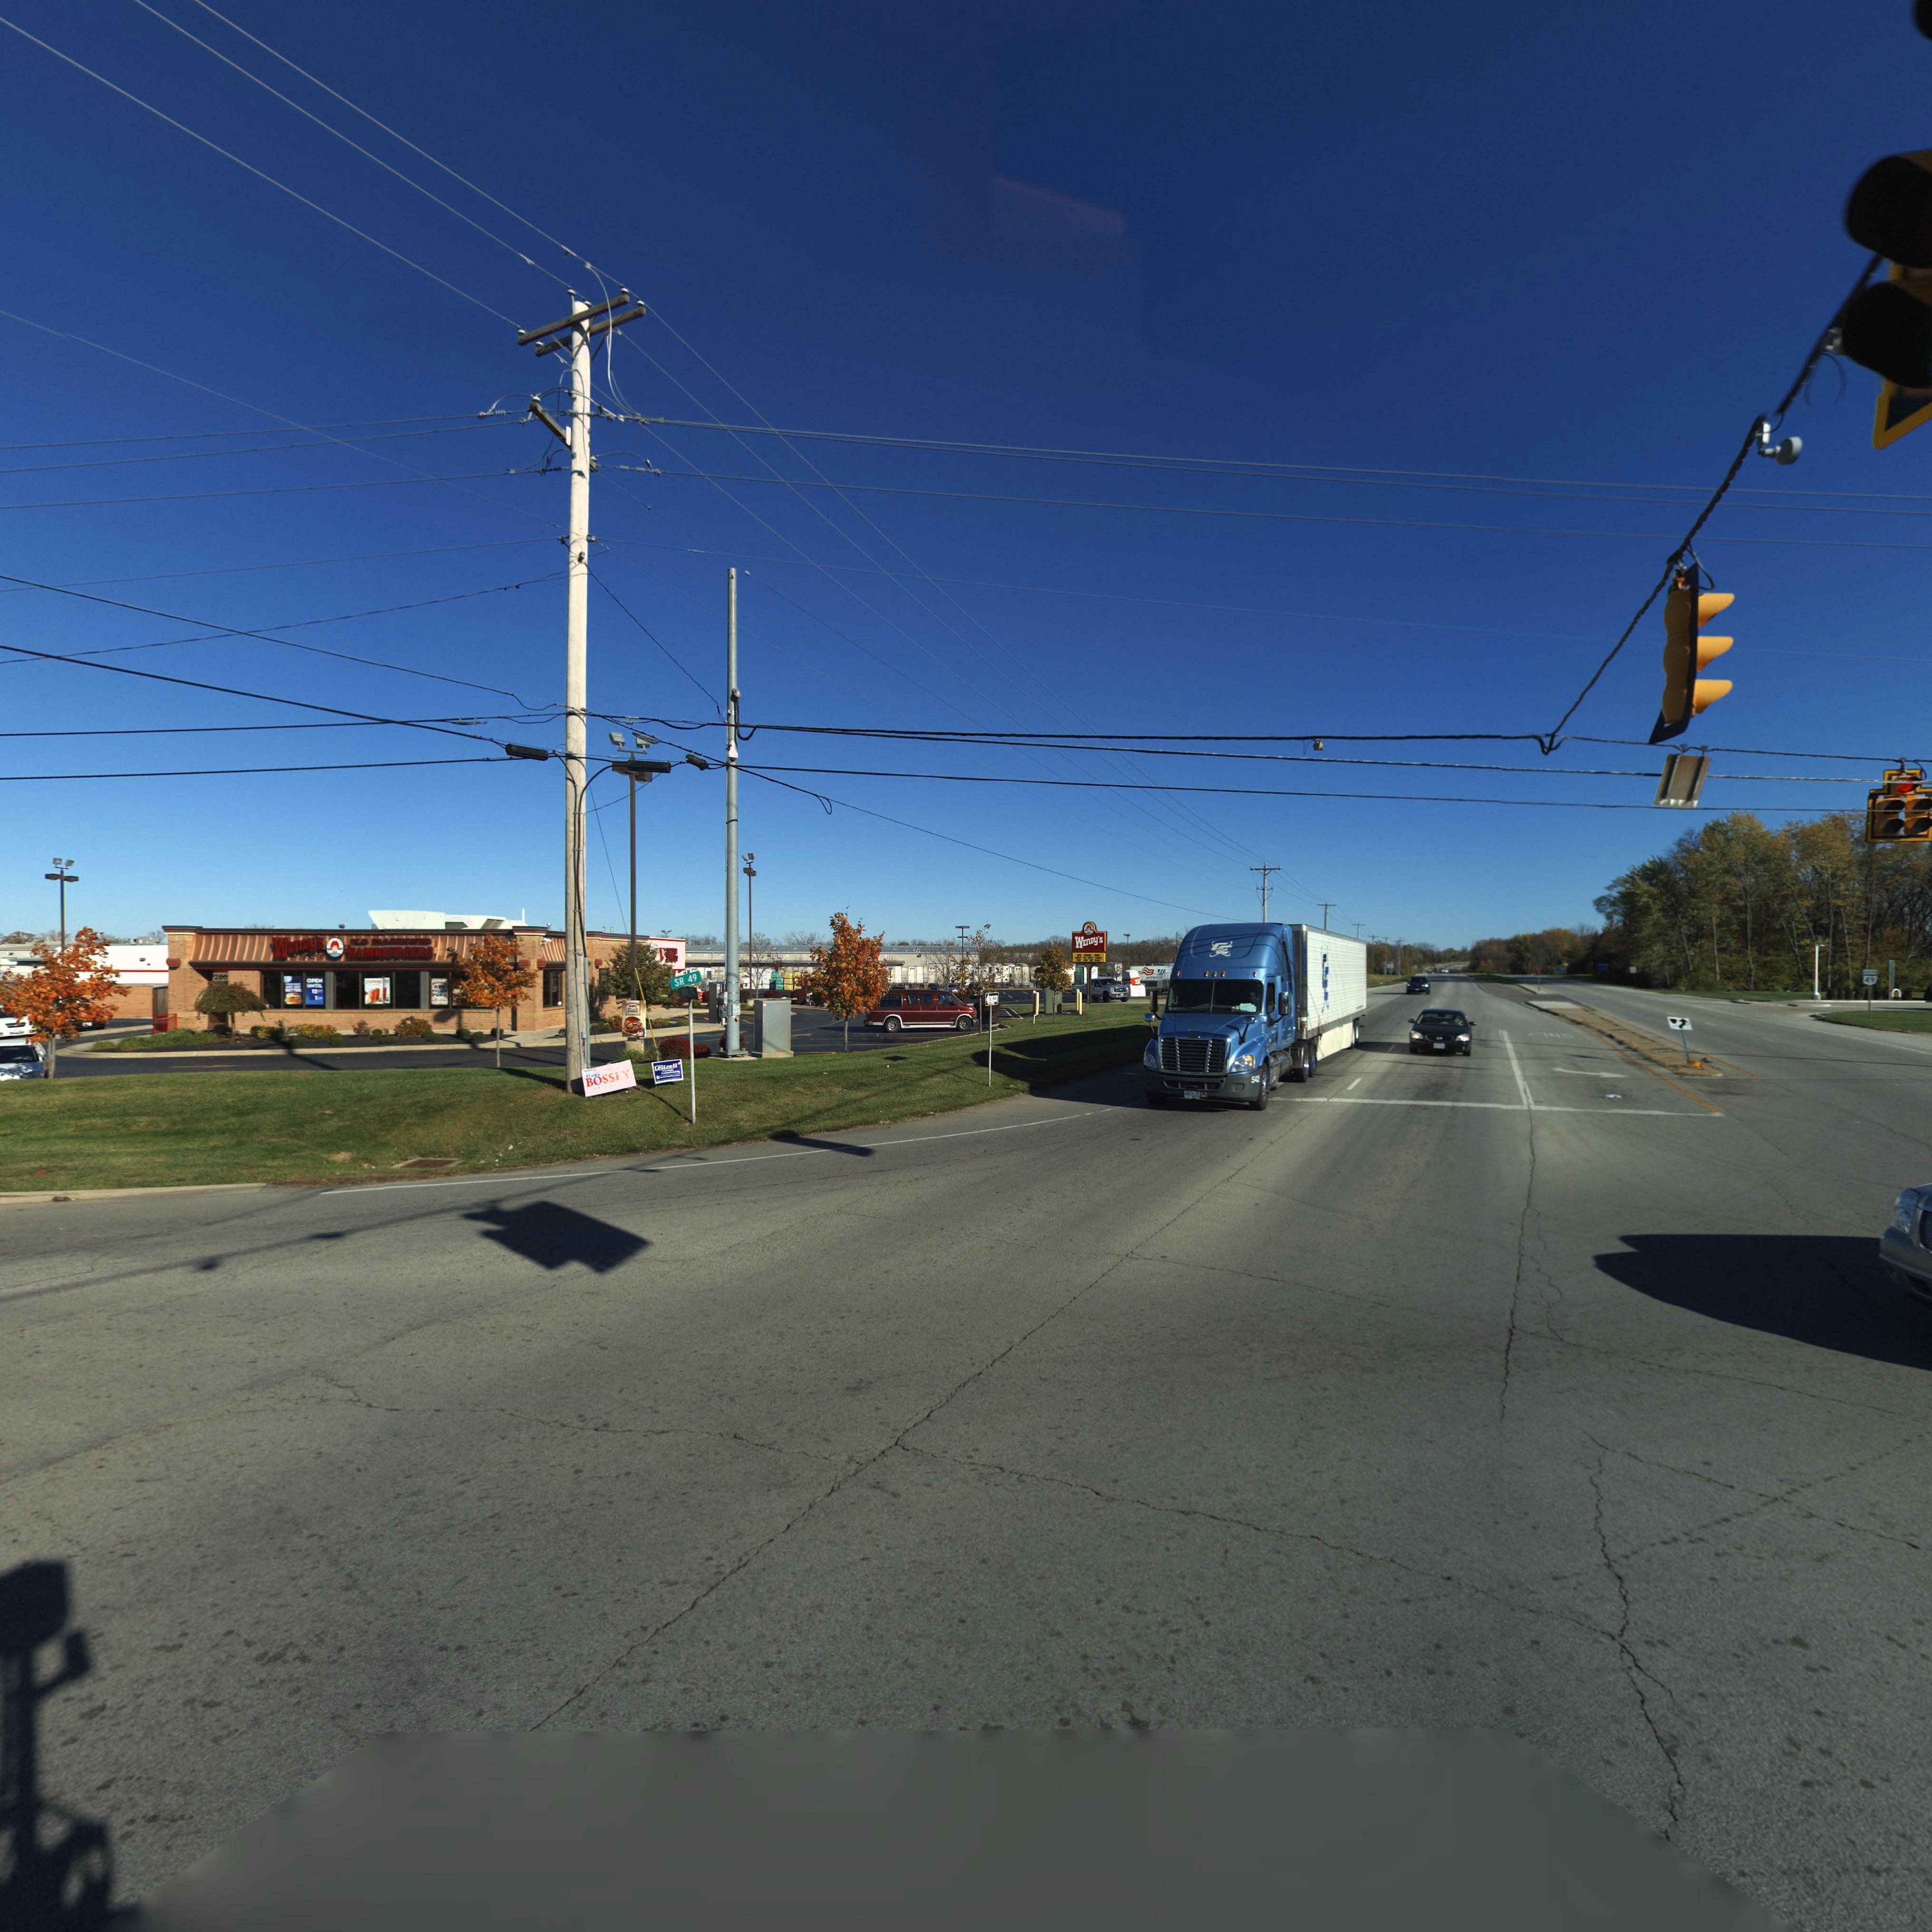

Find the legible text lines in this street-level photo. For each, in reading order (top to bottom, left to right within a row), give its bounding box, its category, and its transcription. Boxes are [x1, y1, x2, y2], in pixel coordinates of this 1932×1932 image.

[213, 973, 228, 980] StreetNumber: 200